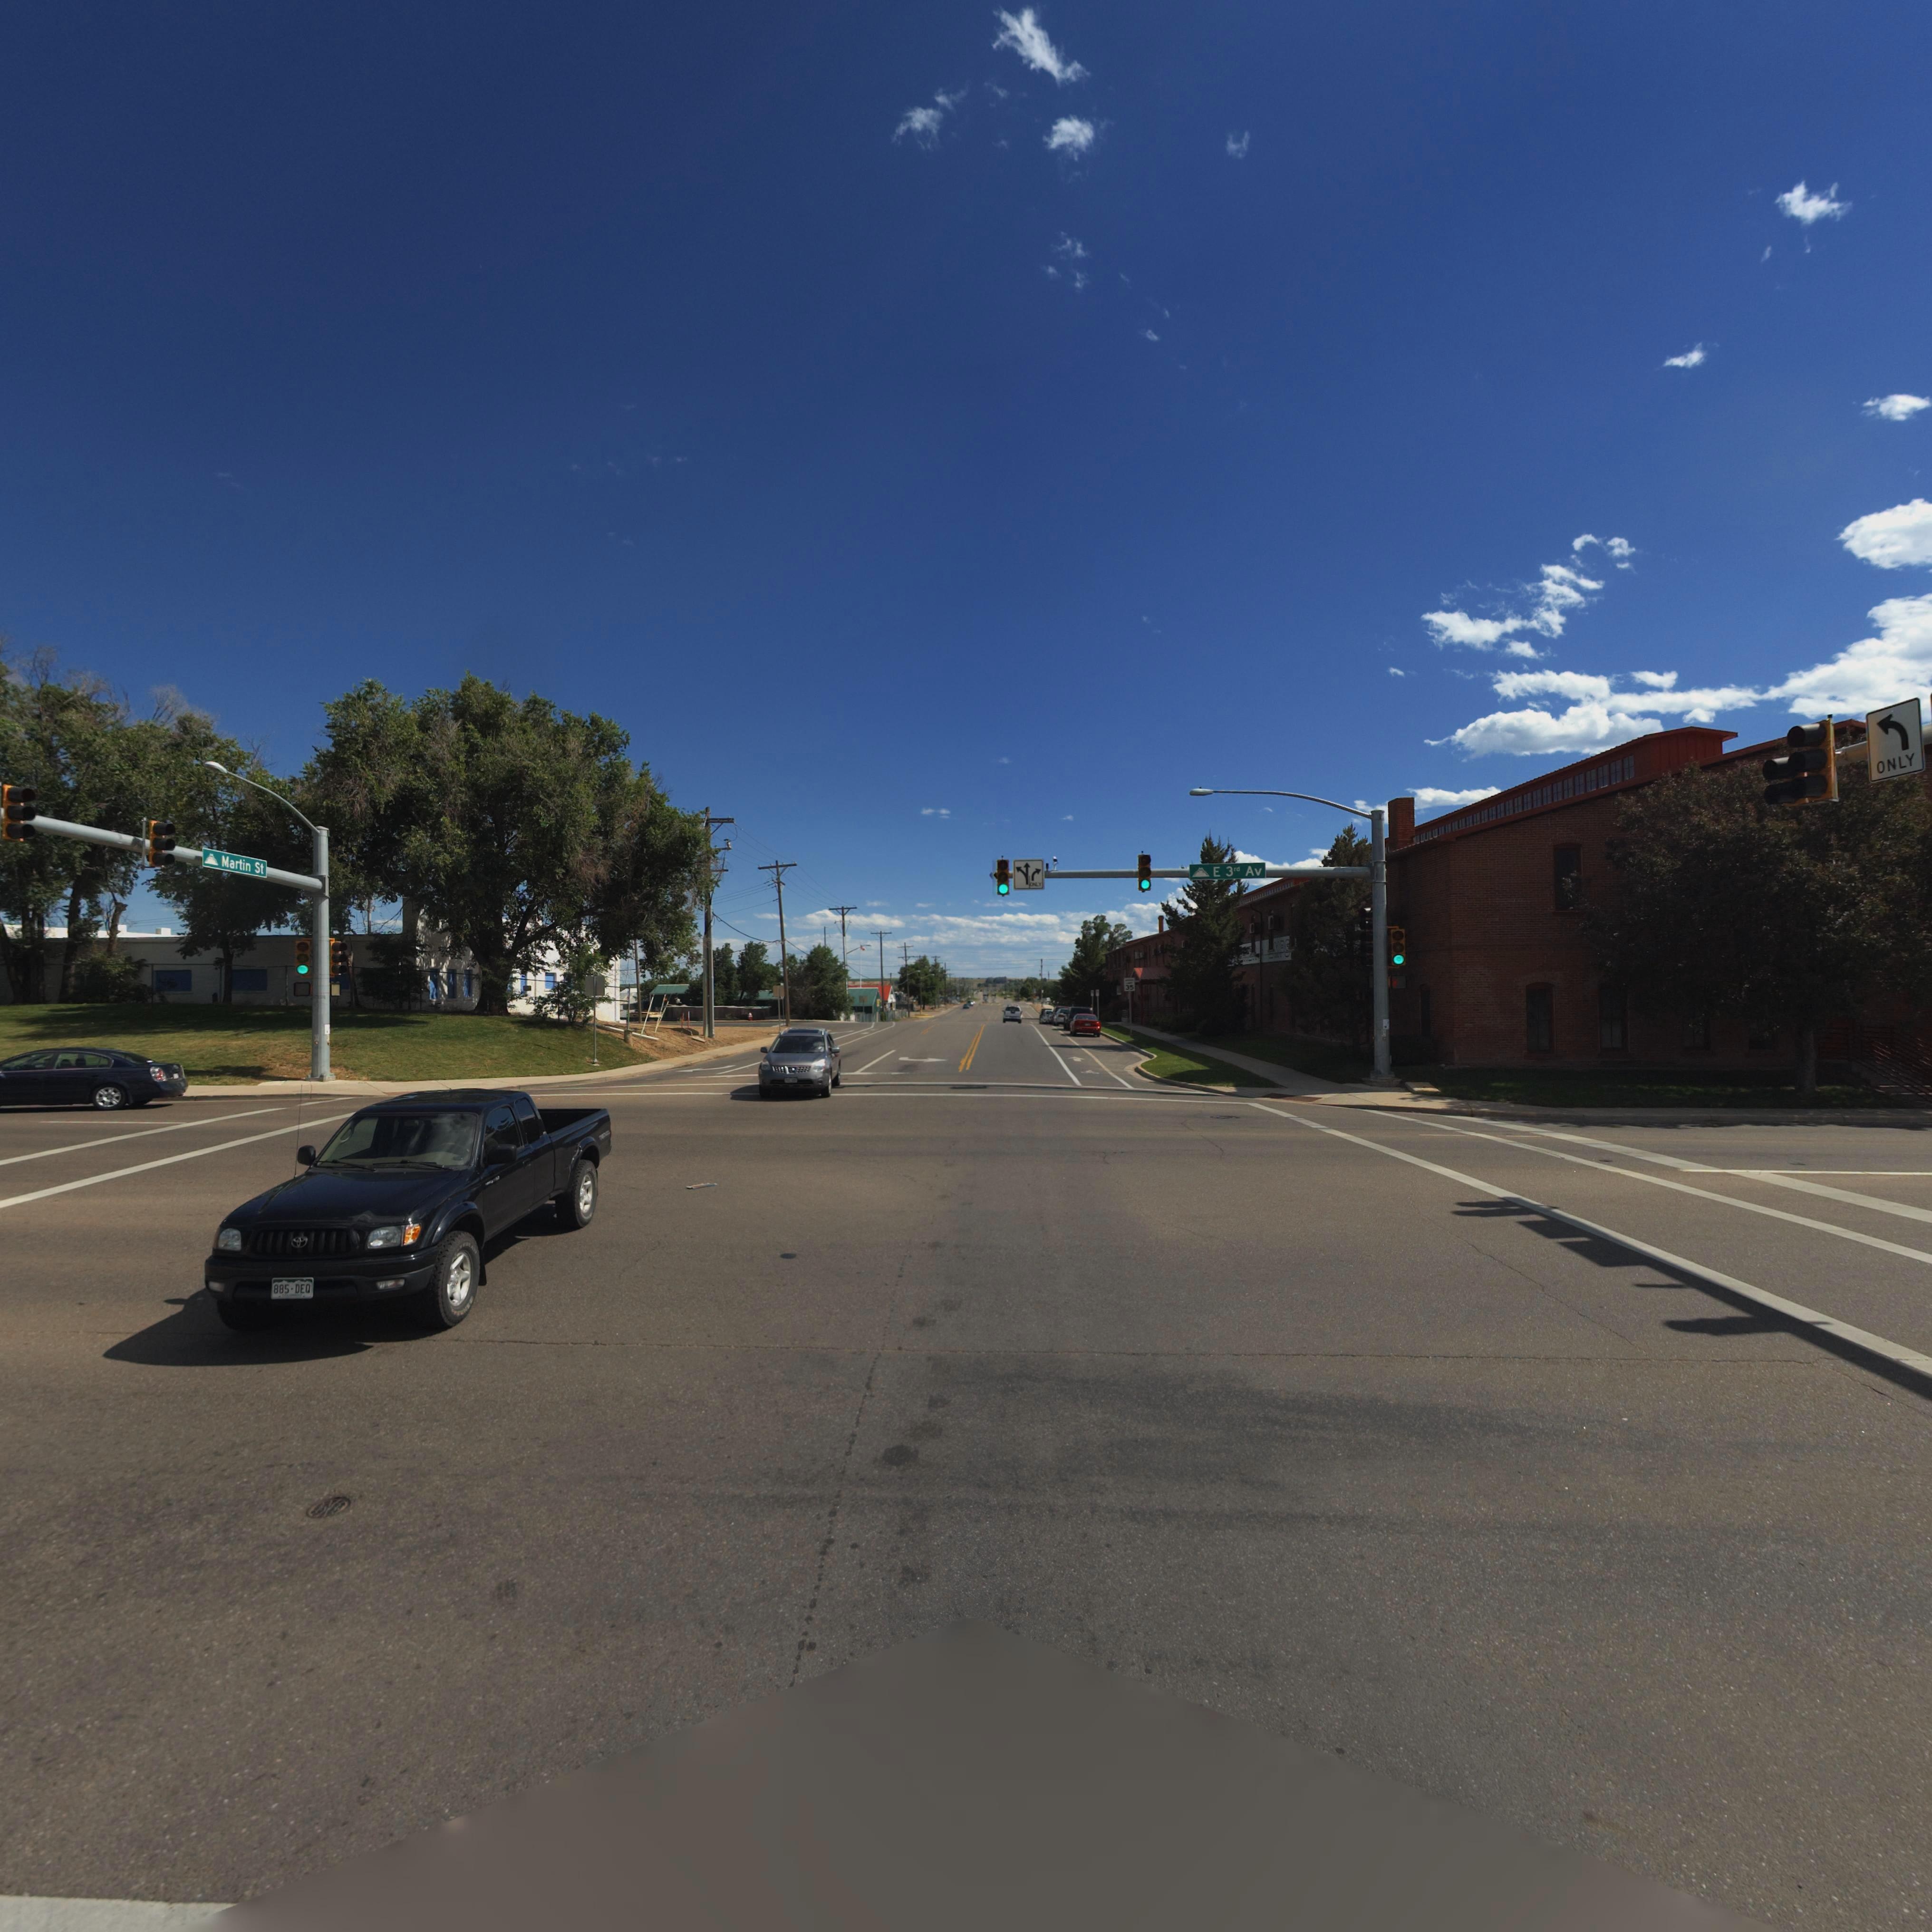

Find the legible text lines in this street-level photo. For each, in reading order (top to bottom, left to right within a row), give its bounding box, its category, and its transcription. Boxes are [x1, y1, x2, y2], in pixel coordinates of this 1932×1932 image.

[221, 855, 264, 875] StreetName: Martin St
[1212, 865, 1262, 877] StreetName: E 3rd Av
[1267, 938, 1291, 959] BusinessName: *MPS